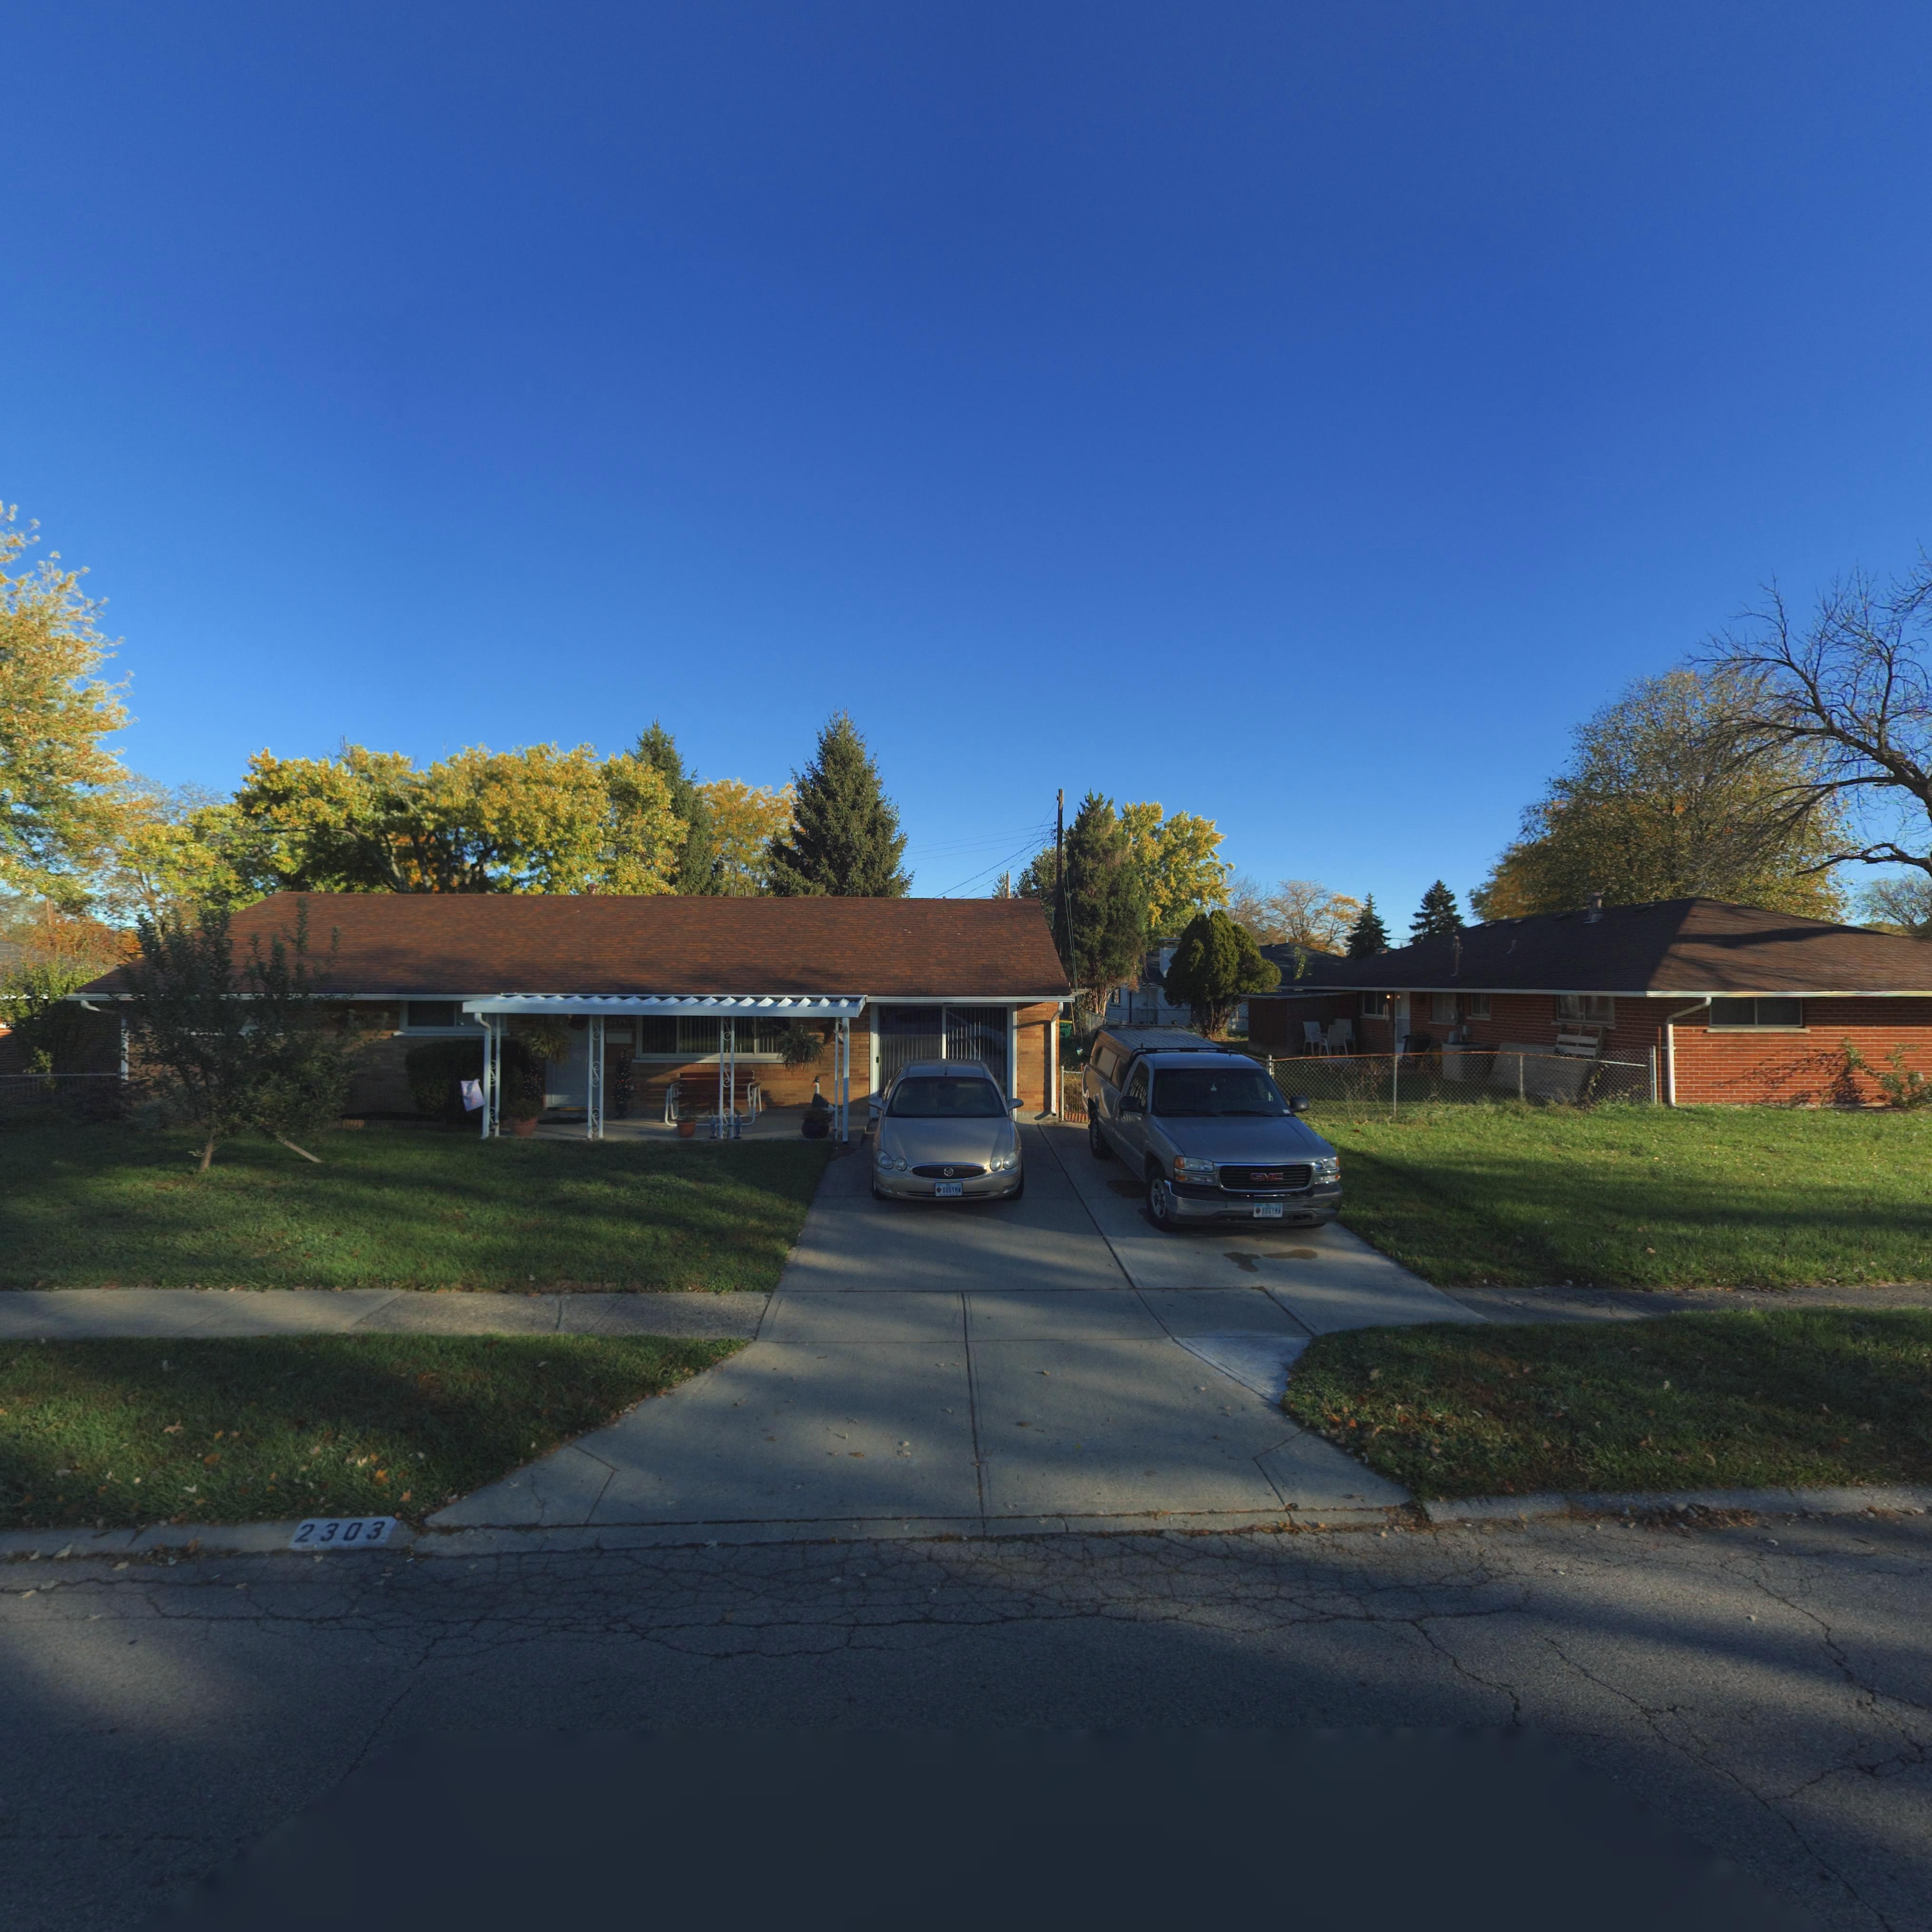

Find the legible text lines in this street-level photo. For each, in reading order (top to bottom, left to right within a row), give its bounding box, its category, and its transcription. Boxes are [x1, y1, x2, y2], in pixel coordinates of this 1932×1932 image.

[291, 1519, 387, 1545] StreetNumber: 2303